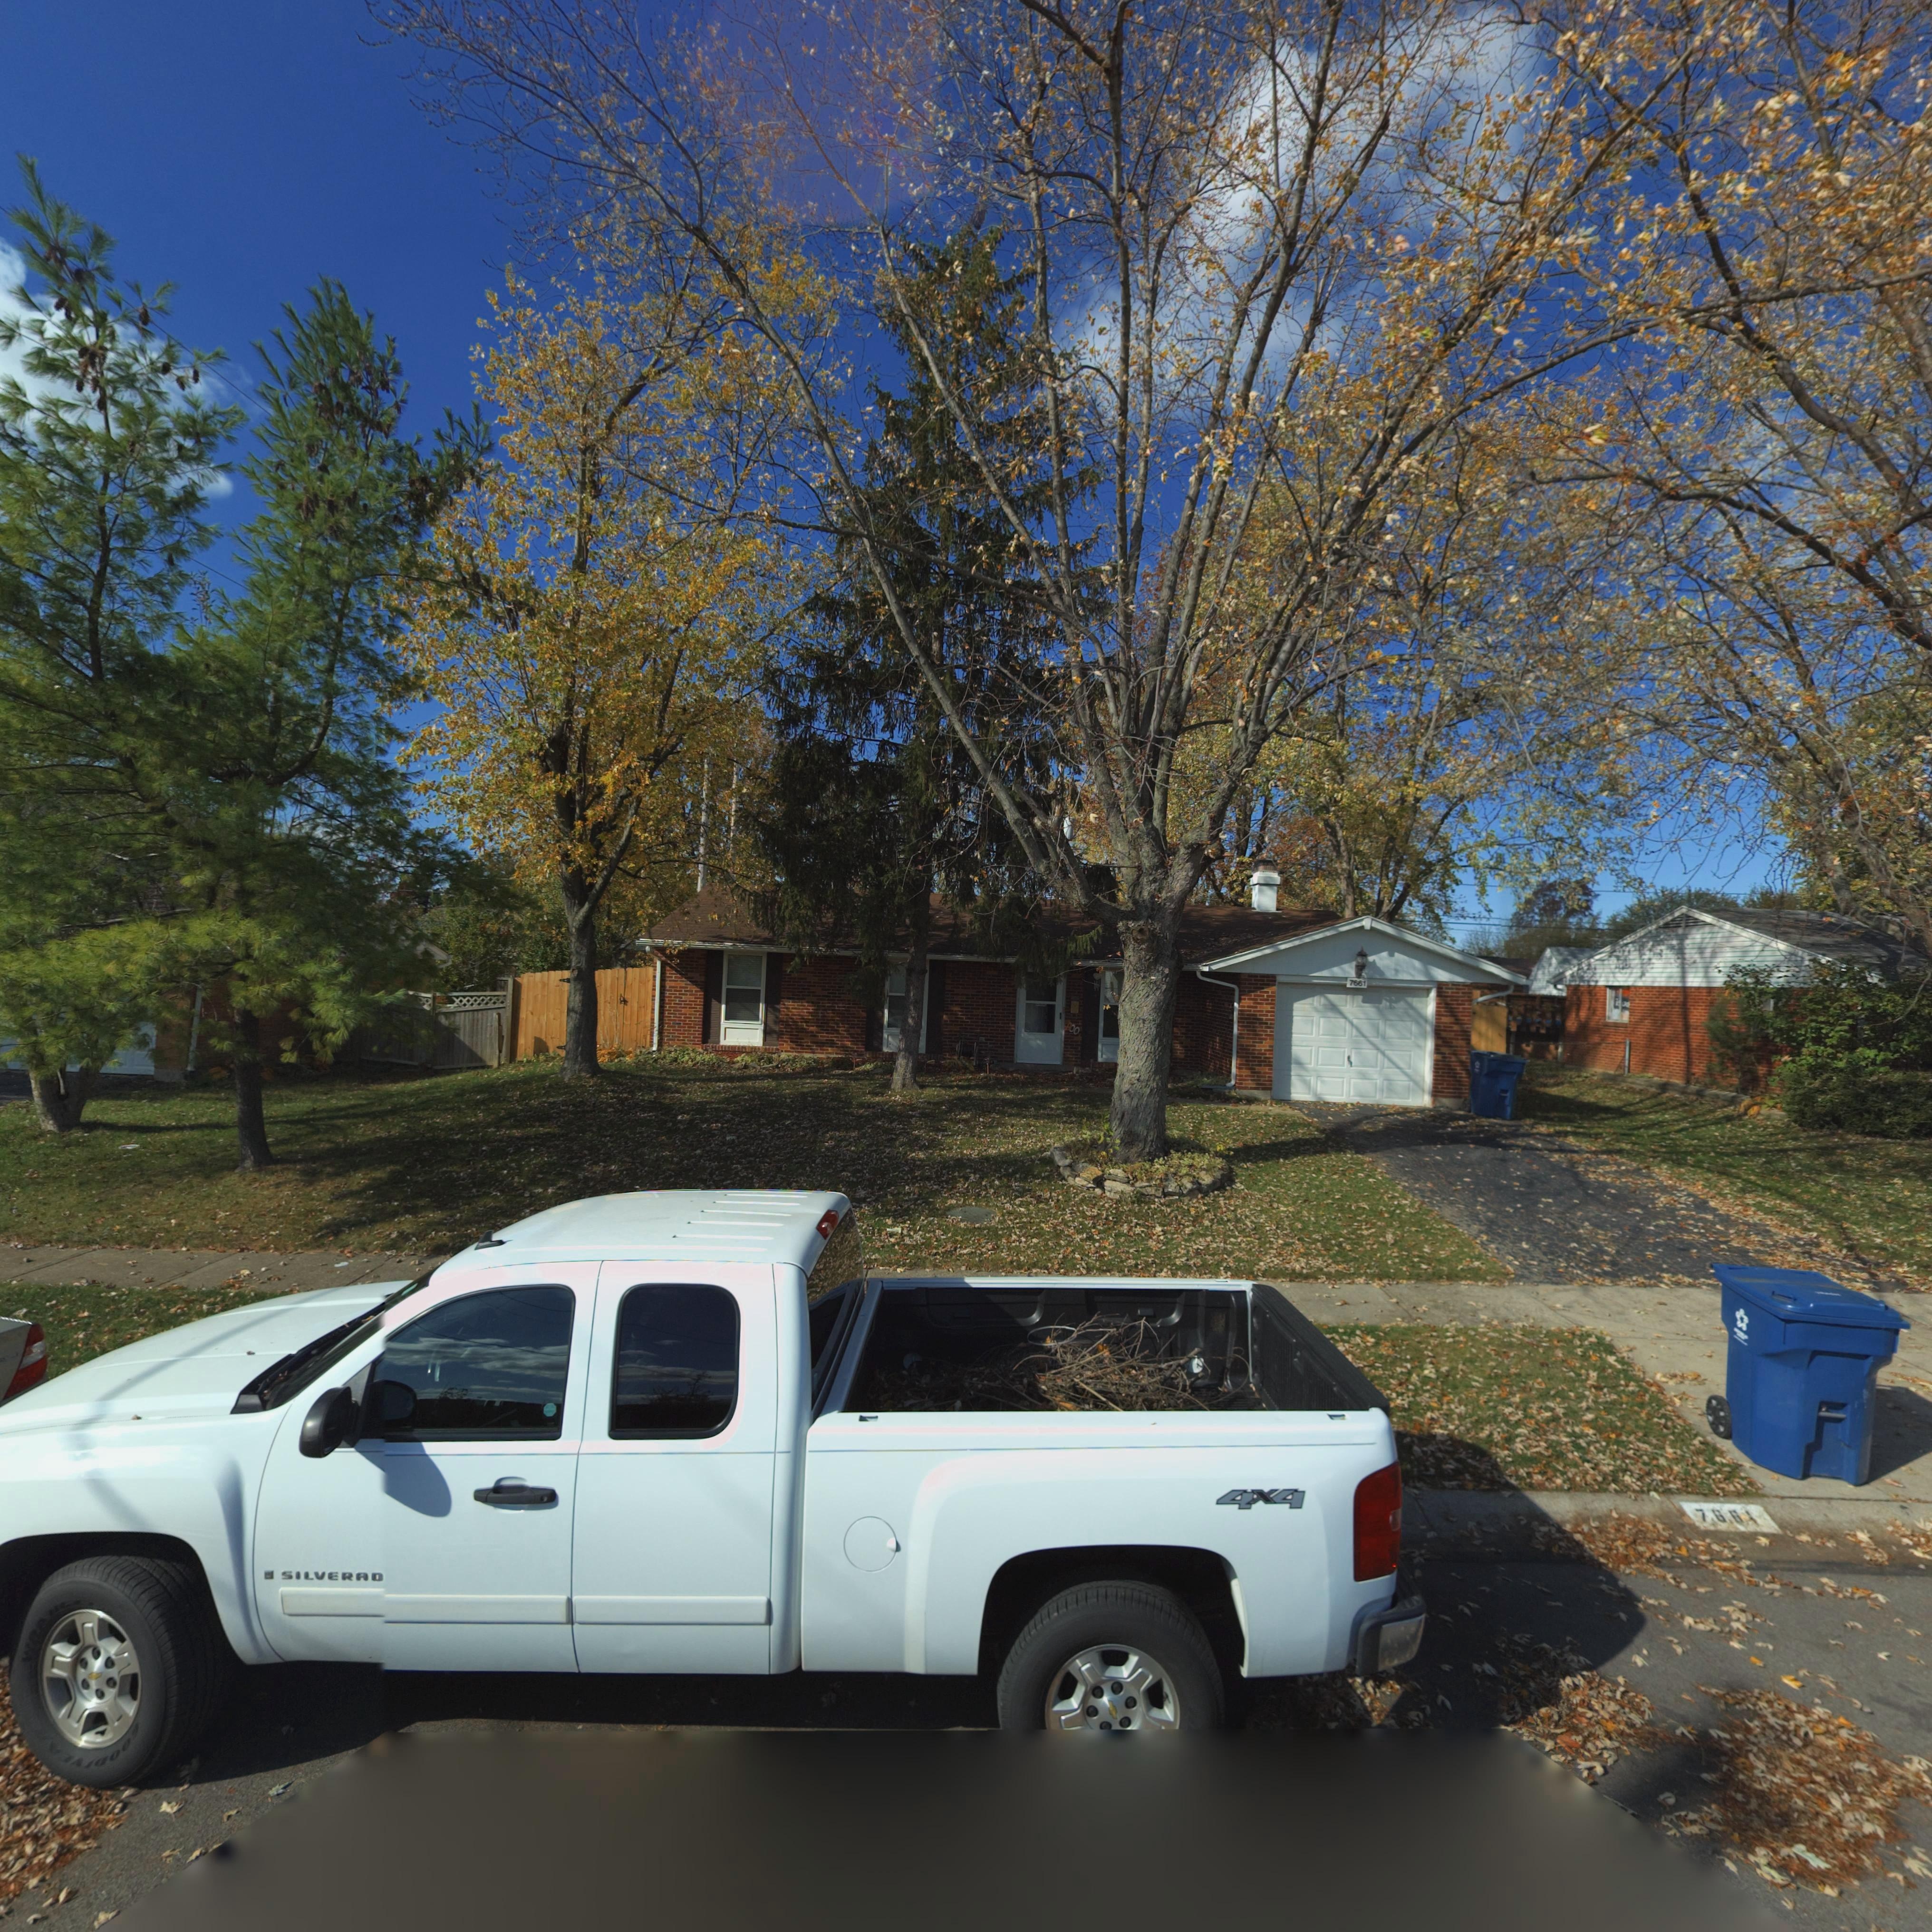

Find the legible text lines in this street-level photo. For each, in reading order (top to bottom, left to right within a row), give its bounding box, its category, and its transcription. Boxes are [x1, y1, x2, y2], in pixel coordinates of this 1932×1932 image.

[1348, 978, 1367, 987] StreetNumber: 7661
[1692, 1507, 1760, 1526] StreetNumber: 7661